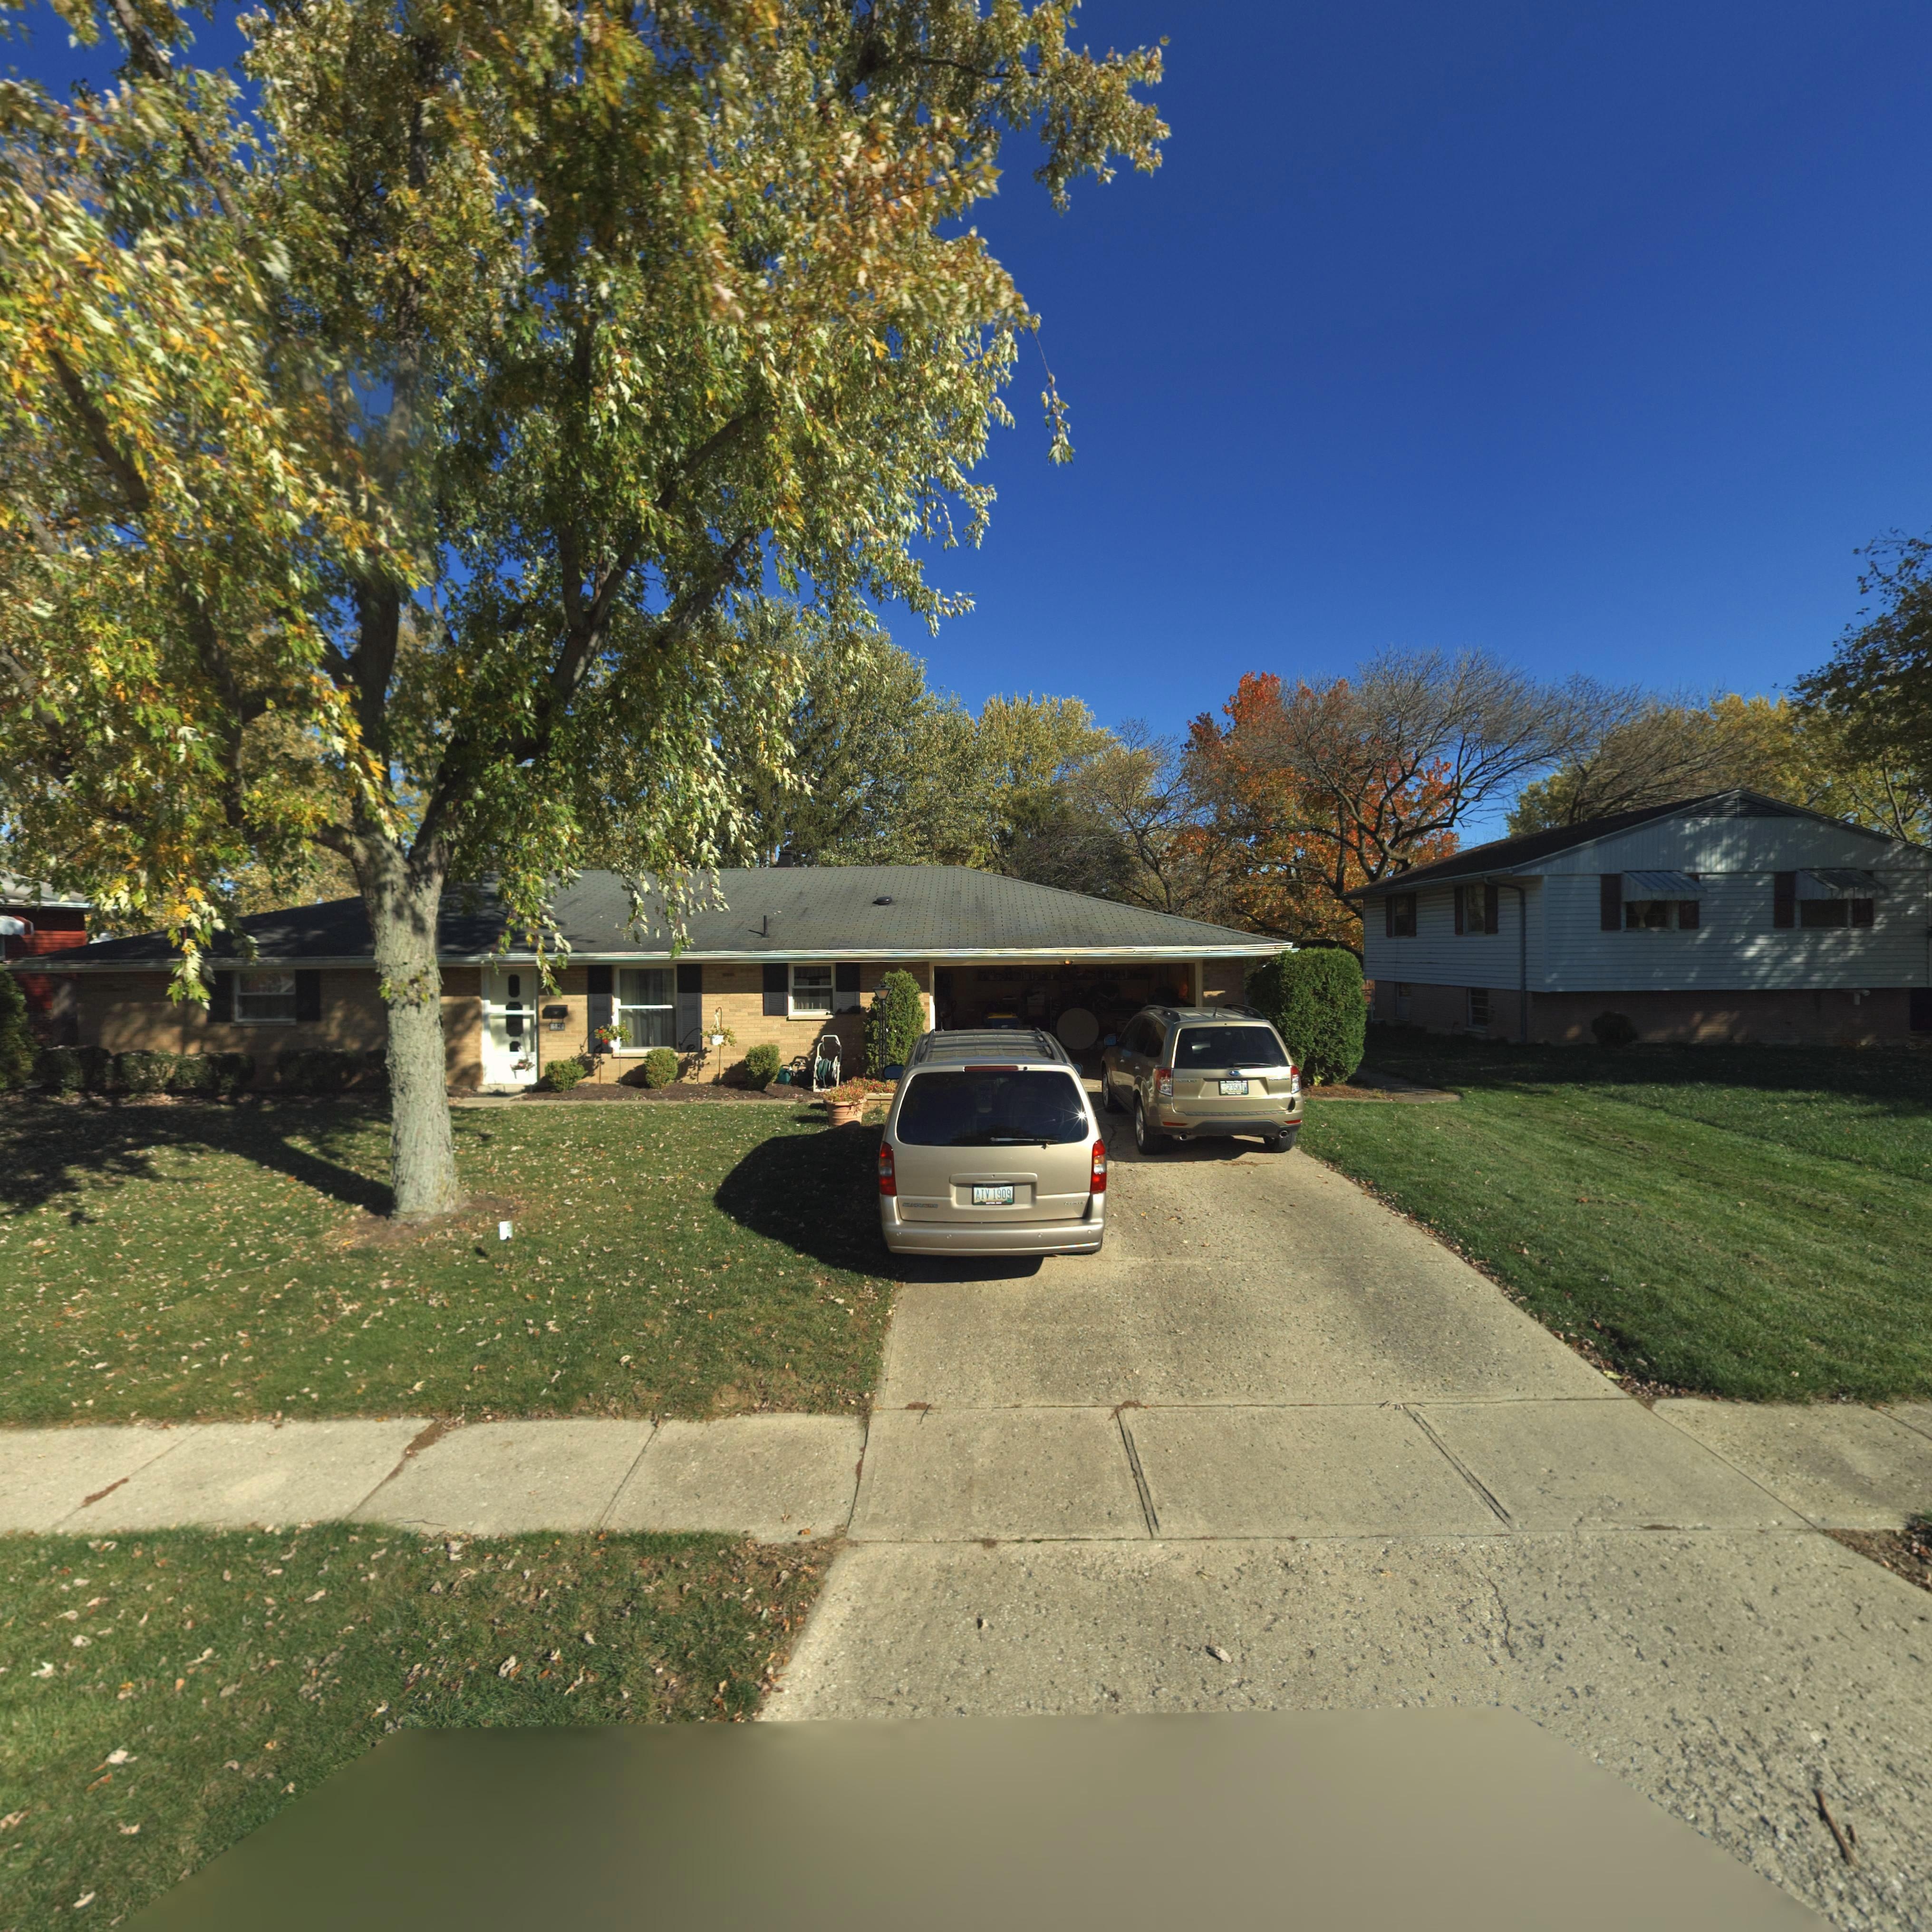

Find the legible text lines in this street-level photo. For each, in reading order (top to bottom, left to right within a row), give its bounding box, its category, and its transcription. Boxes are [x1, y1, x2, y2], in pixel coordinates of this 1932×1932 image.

[550, 1023, 565, 1029] StreetNumber: 682*